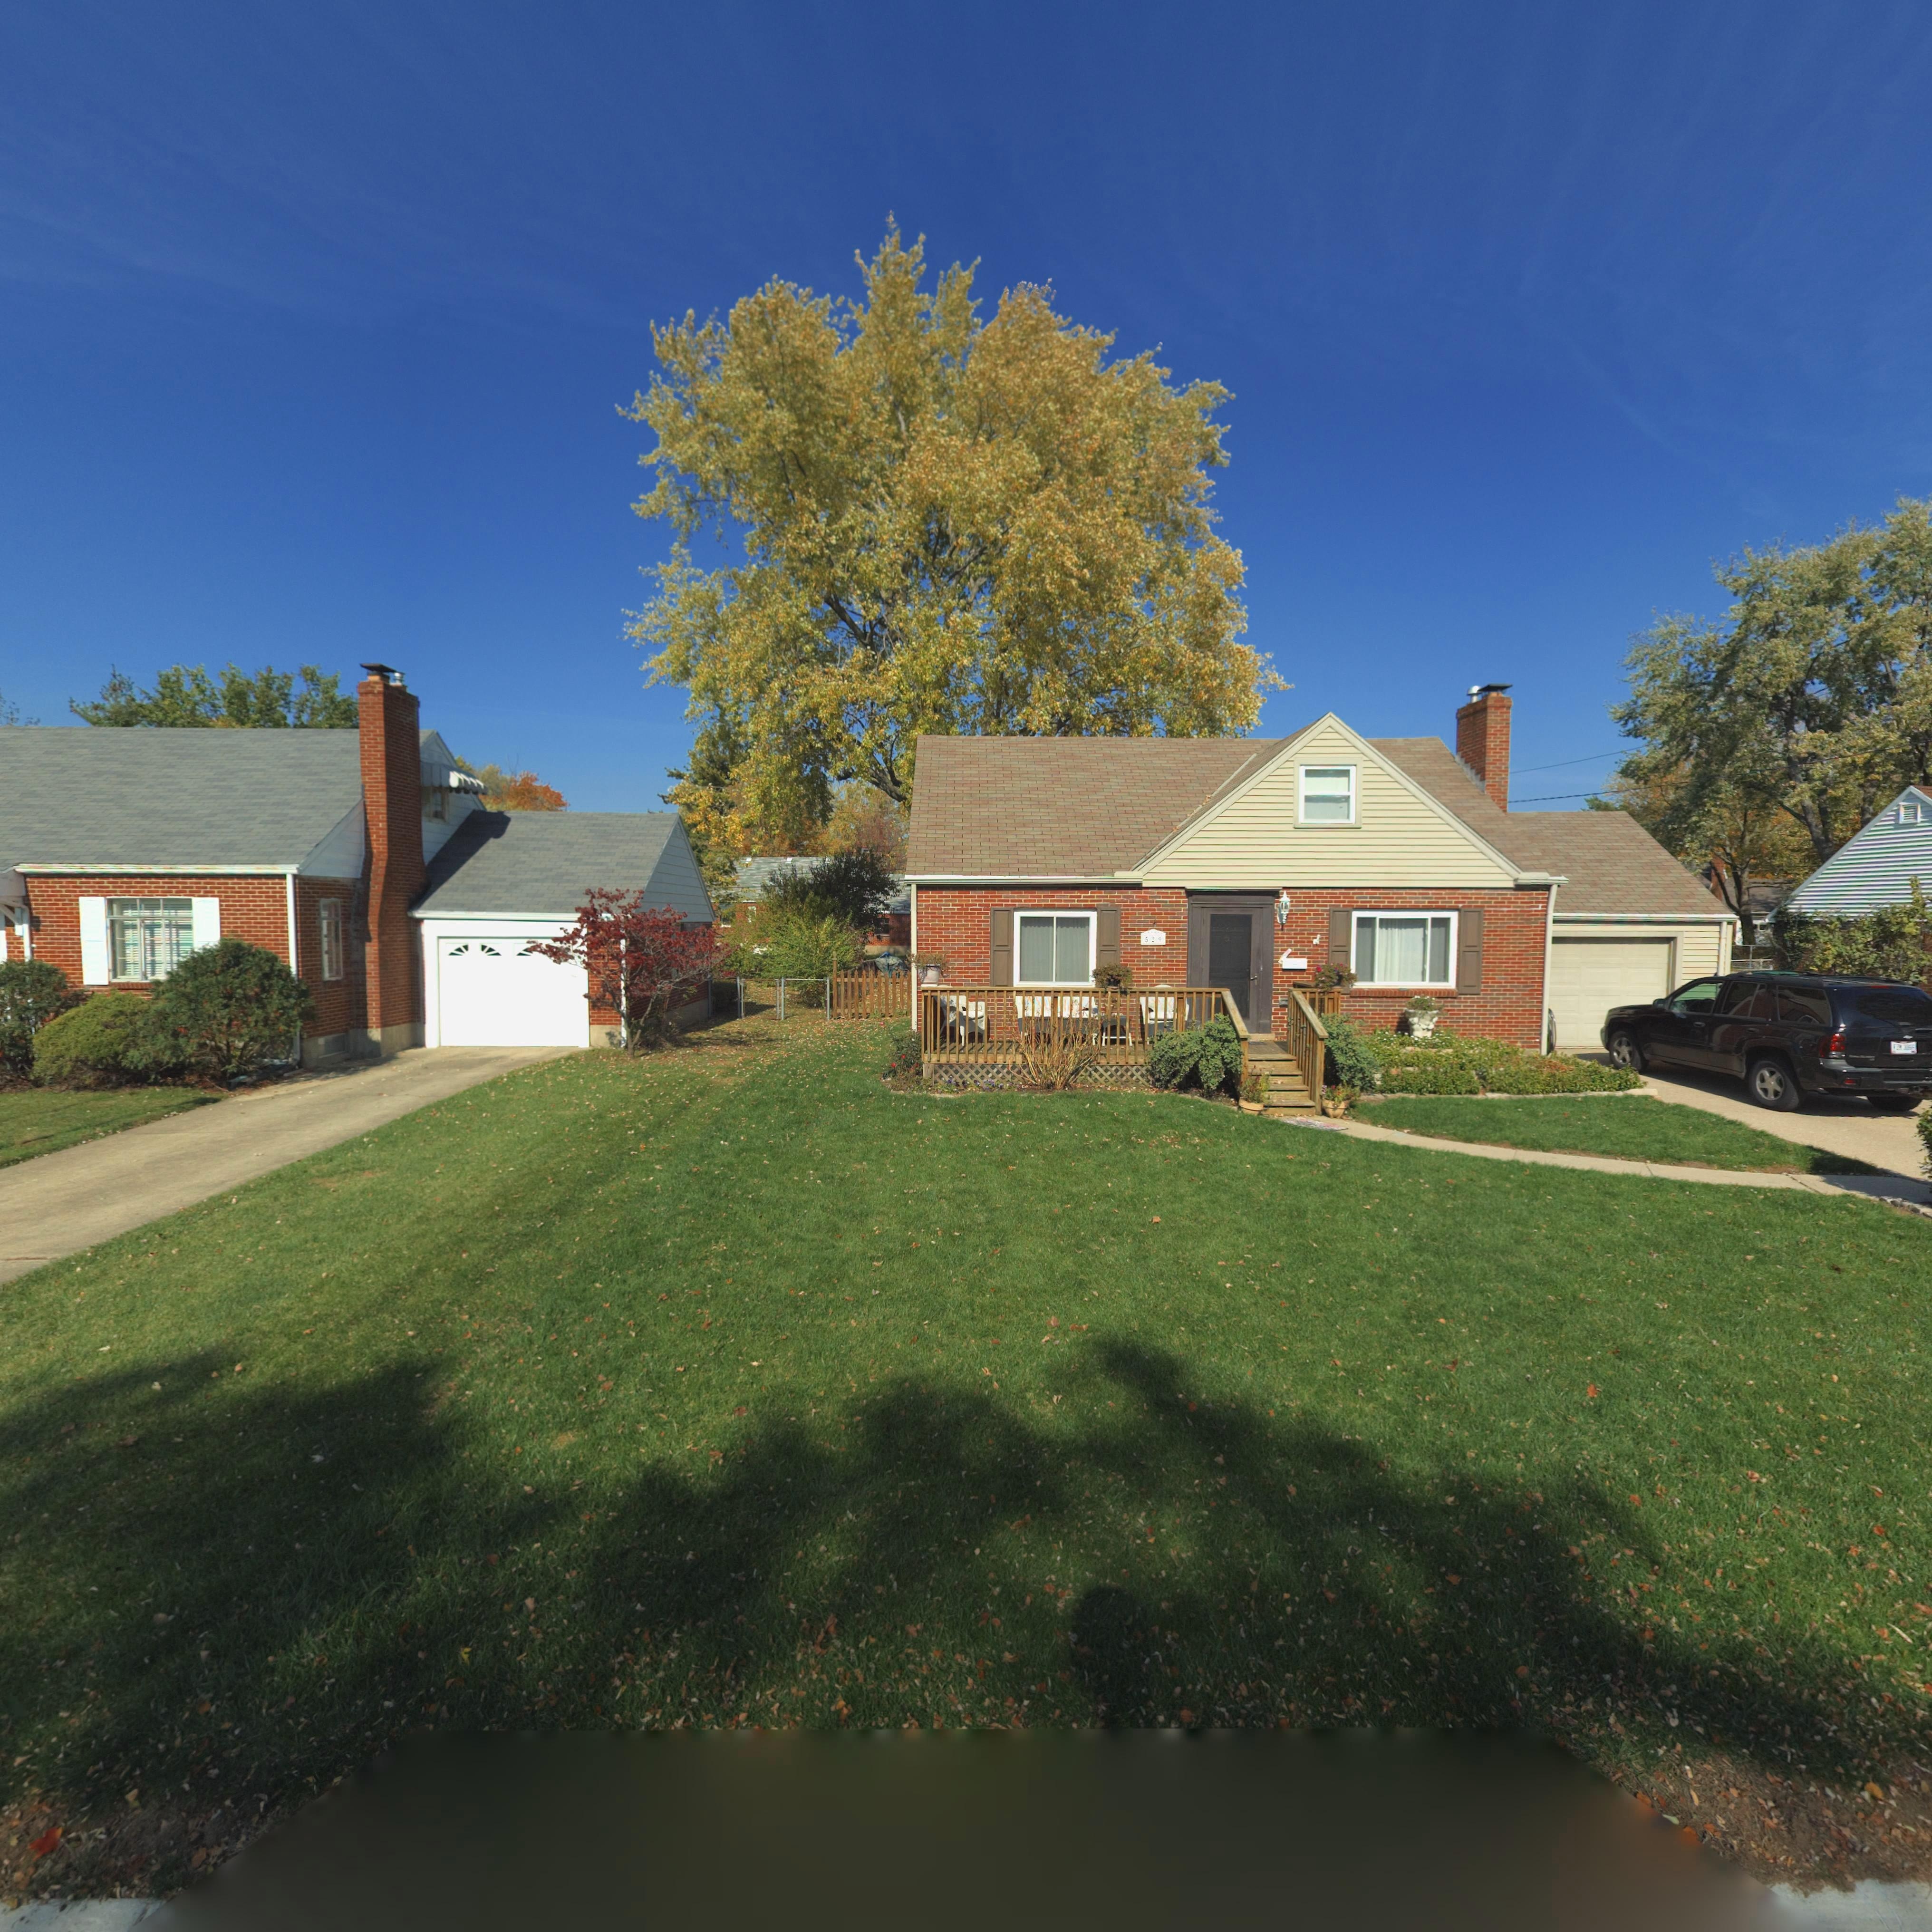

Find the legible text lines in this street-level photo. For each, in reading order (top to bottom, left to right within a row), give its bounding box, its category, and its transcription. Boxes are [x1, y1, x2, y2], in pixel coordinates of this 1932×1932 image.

[1145, 936, 1161, 942] StreetNumber: 529